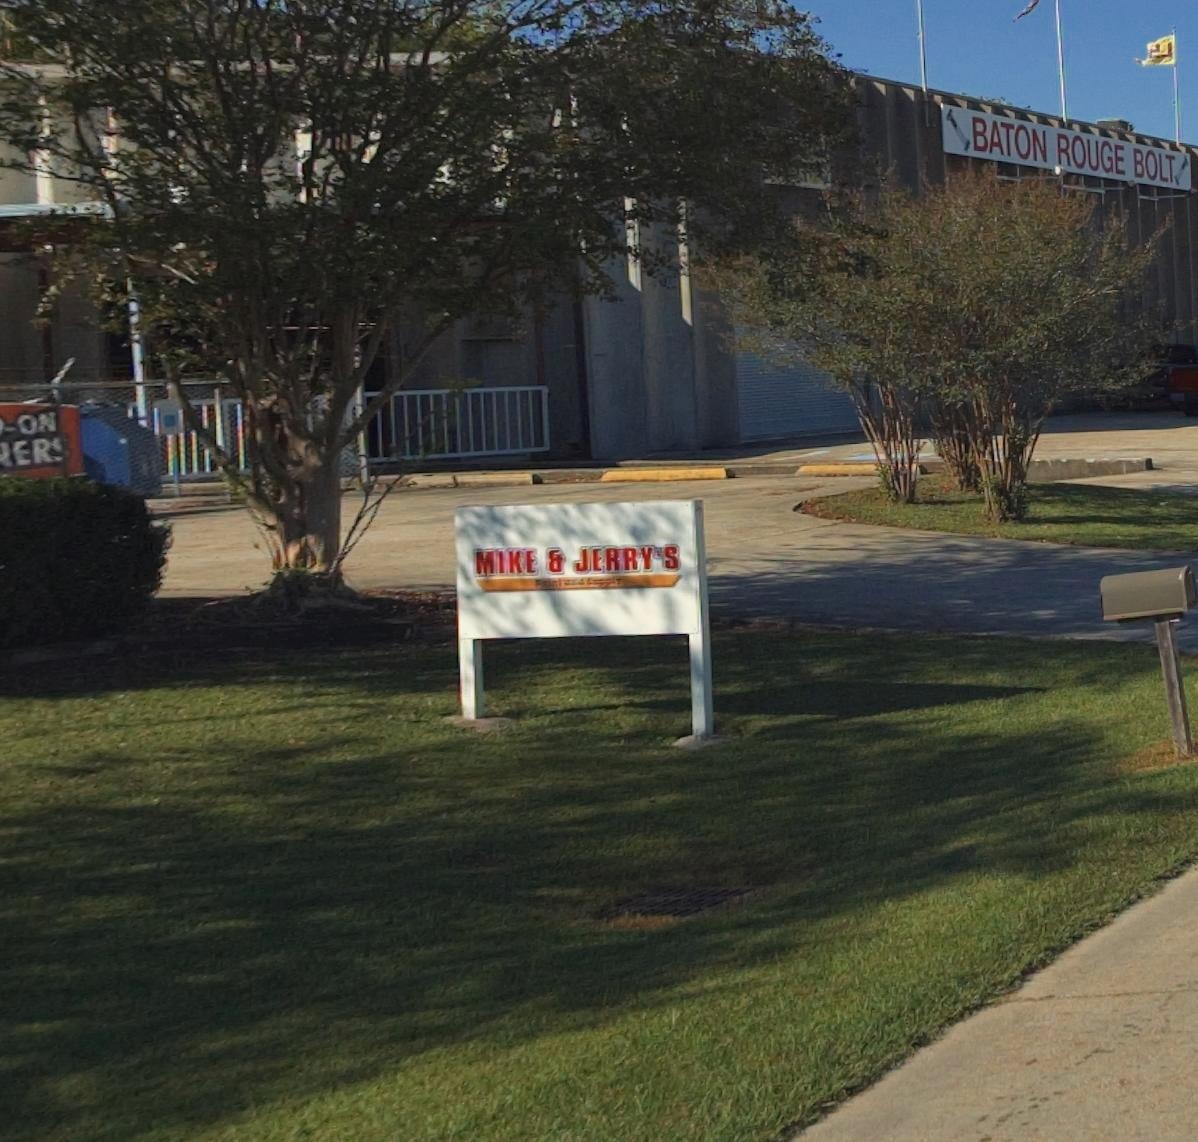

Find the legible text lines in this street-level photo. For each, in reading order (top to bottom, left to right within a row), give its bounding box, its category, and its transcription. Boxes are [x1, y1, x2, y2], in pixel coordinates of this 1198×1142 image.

[969, 112, 1178, 186] BusinessName: BATON ROUGE BOLT
[13, 409, 59, 438] None: ON
[8, 434, 57, 470] None: ER
[474, 544, 681, 577] BusinessName: MIKE & JERRY'S